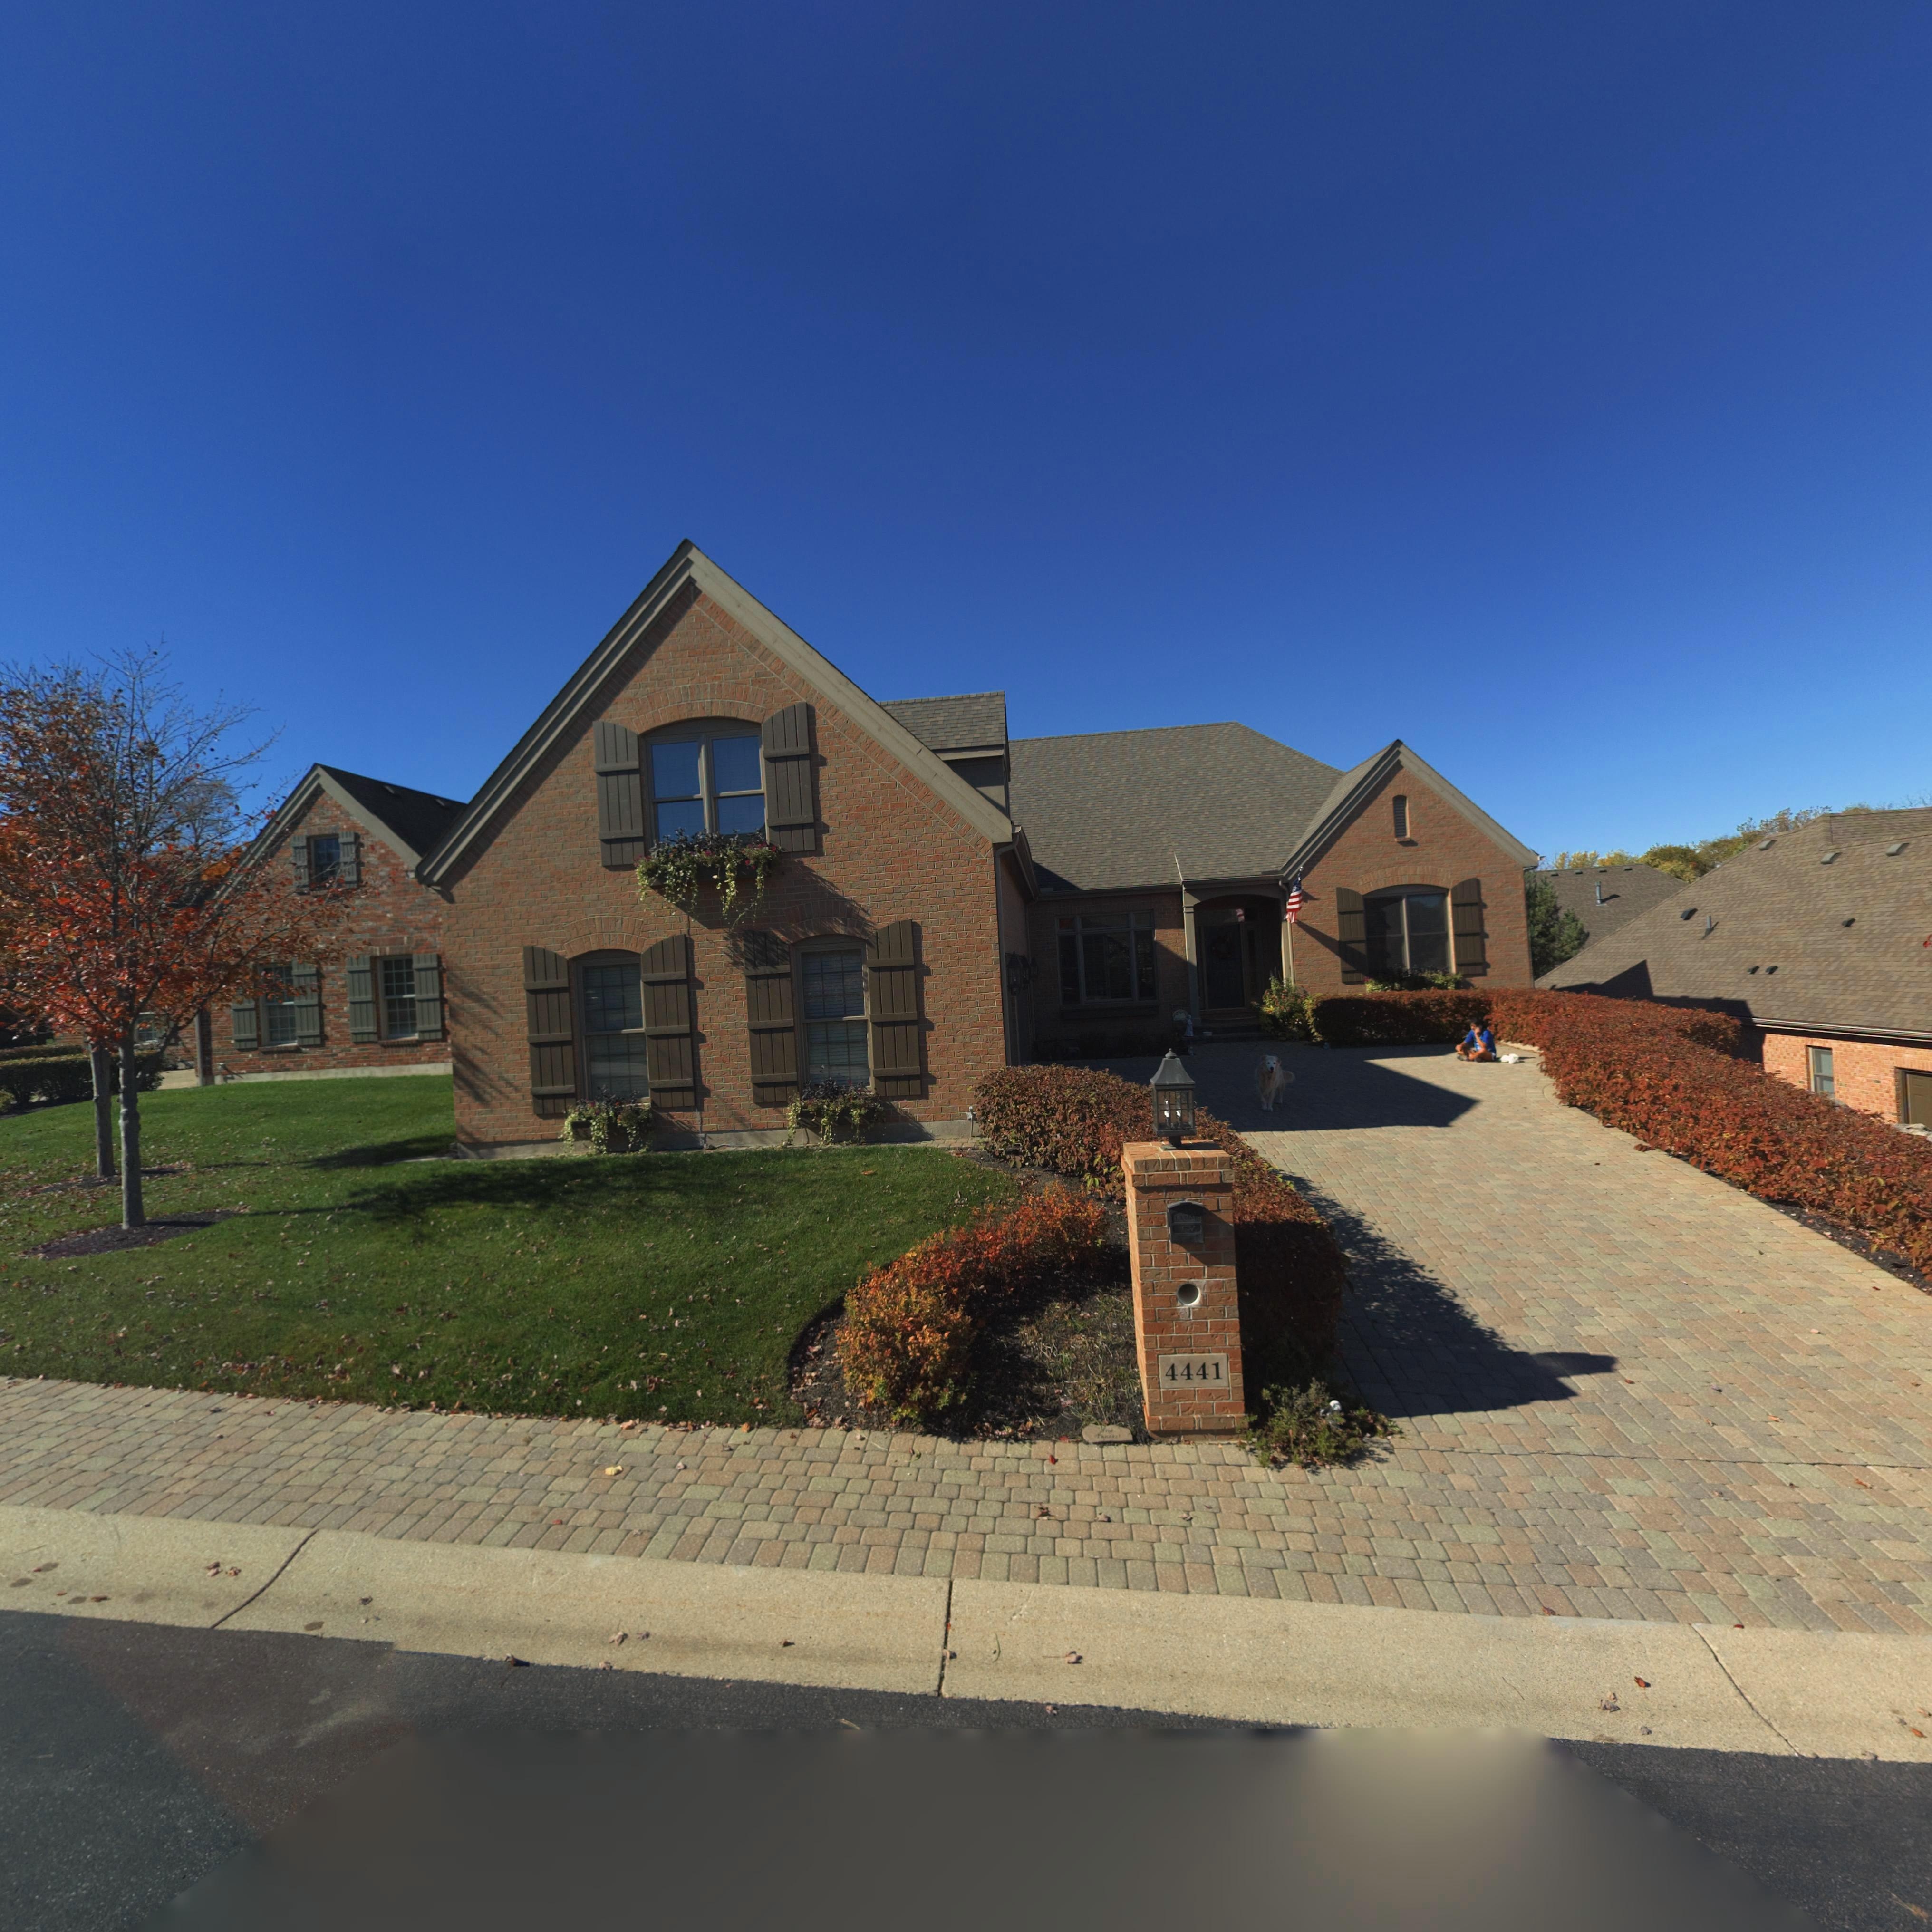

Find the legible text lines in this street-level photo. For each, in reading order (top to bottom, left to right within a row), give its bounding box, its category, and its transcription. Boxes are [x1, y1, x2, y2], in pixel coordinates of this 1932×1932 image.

[1164, 1361, 1224, 1382] StreetNumber: 4441